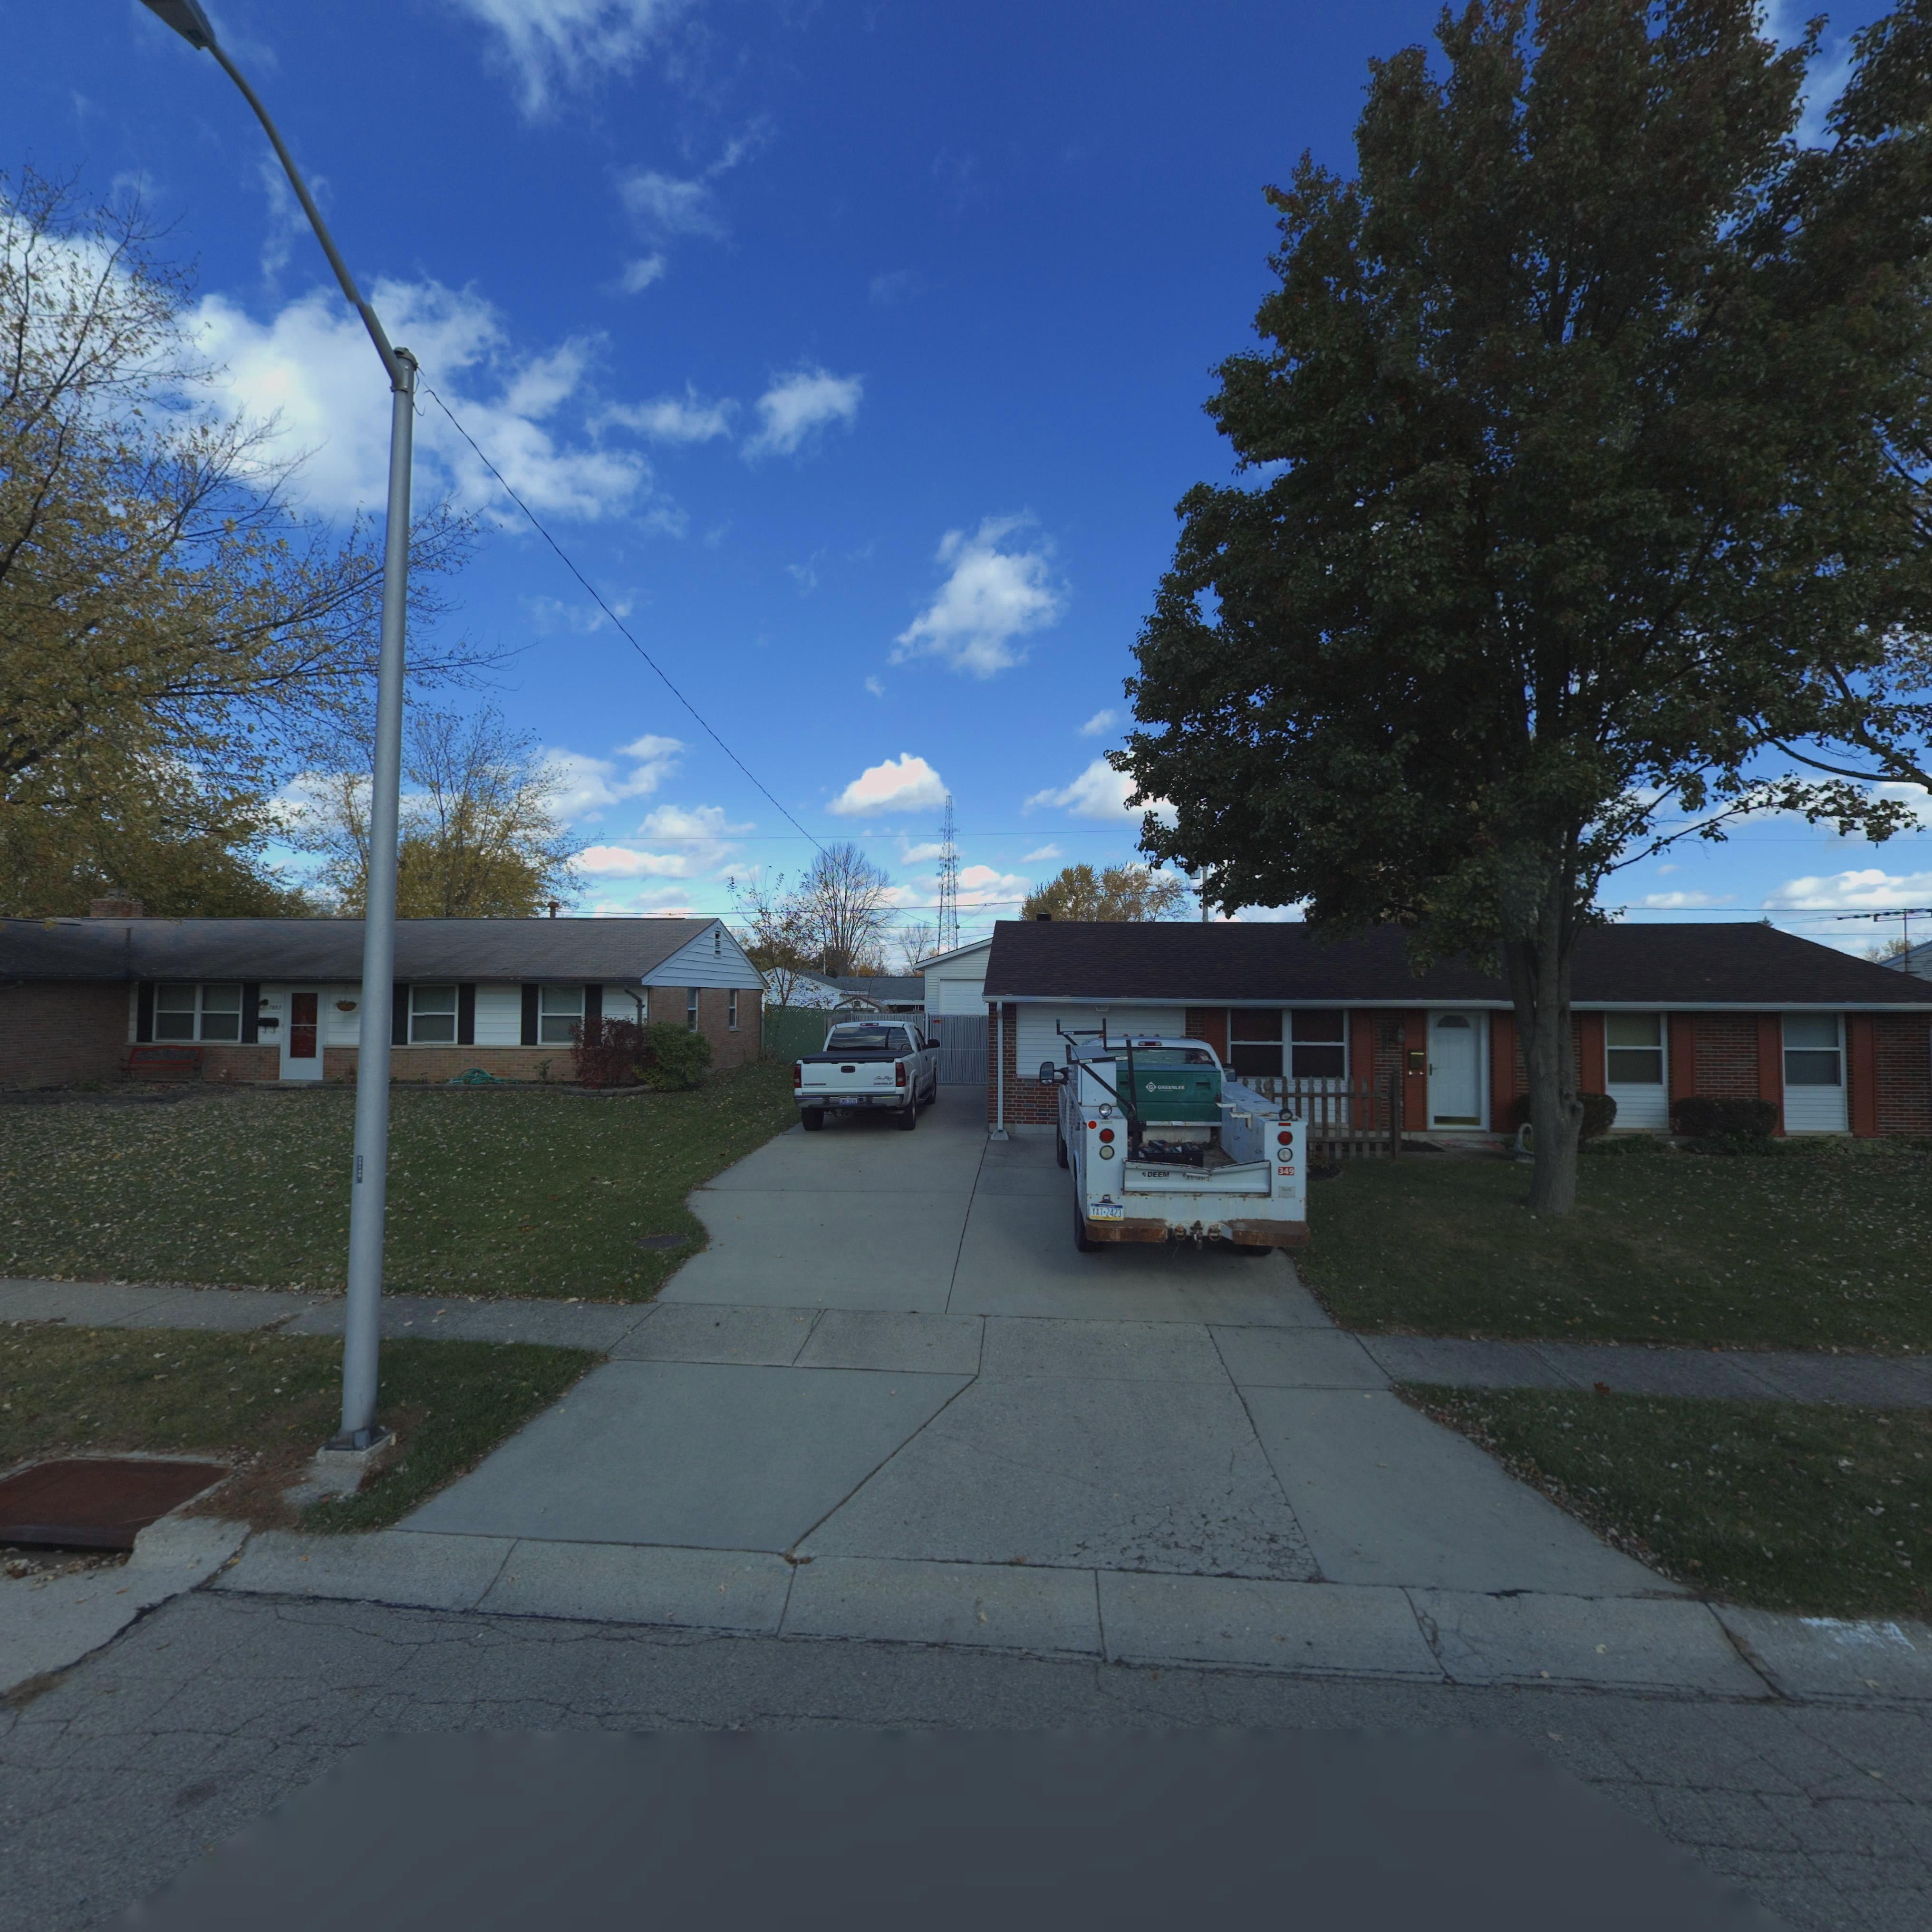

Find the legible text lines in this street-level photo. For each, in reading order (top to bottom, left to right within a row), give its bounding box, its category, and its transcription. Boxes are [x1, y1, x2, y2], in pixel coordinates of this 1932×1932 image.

[267, 1004, 282, 1010] StreetNumber: 7883
[1381, 1024, 1386, 1048] StreetNumber: 7875